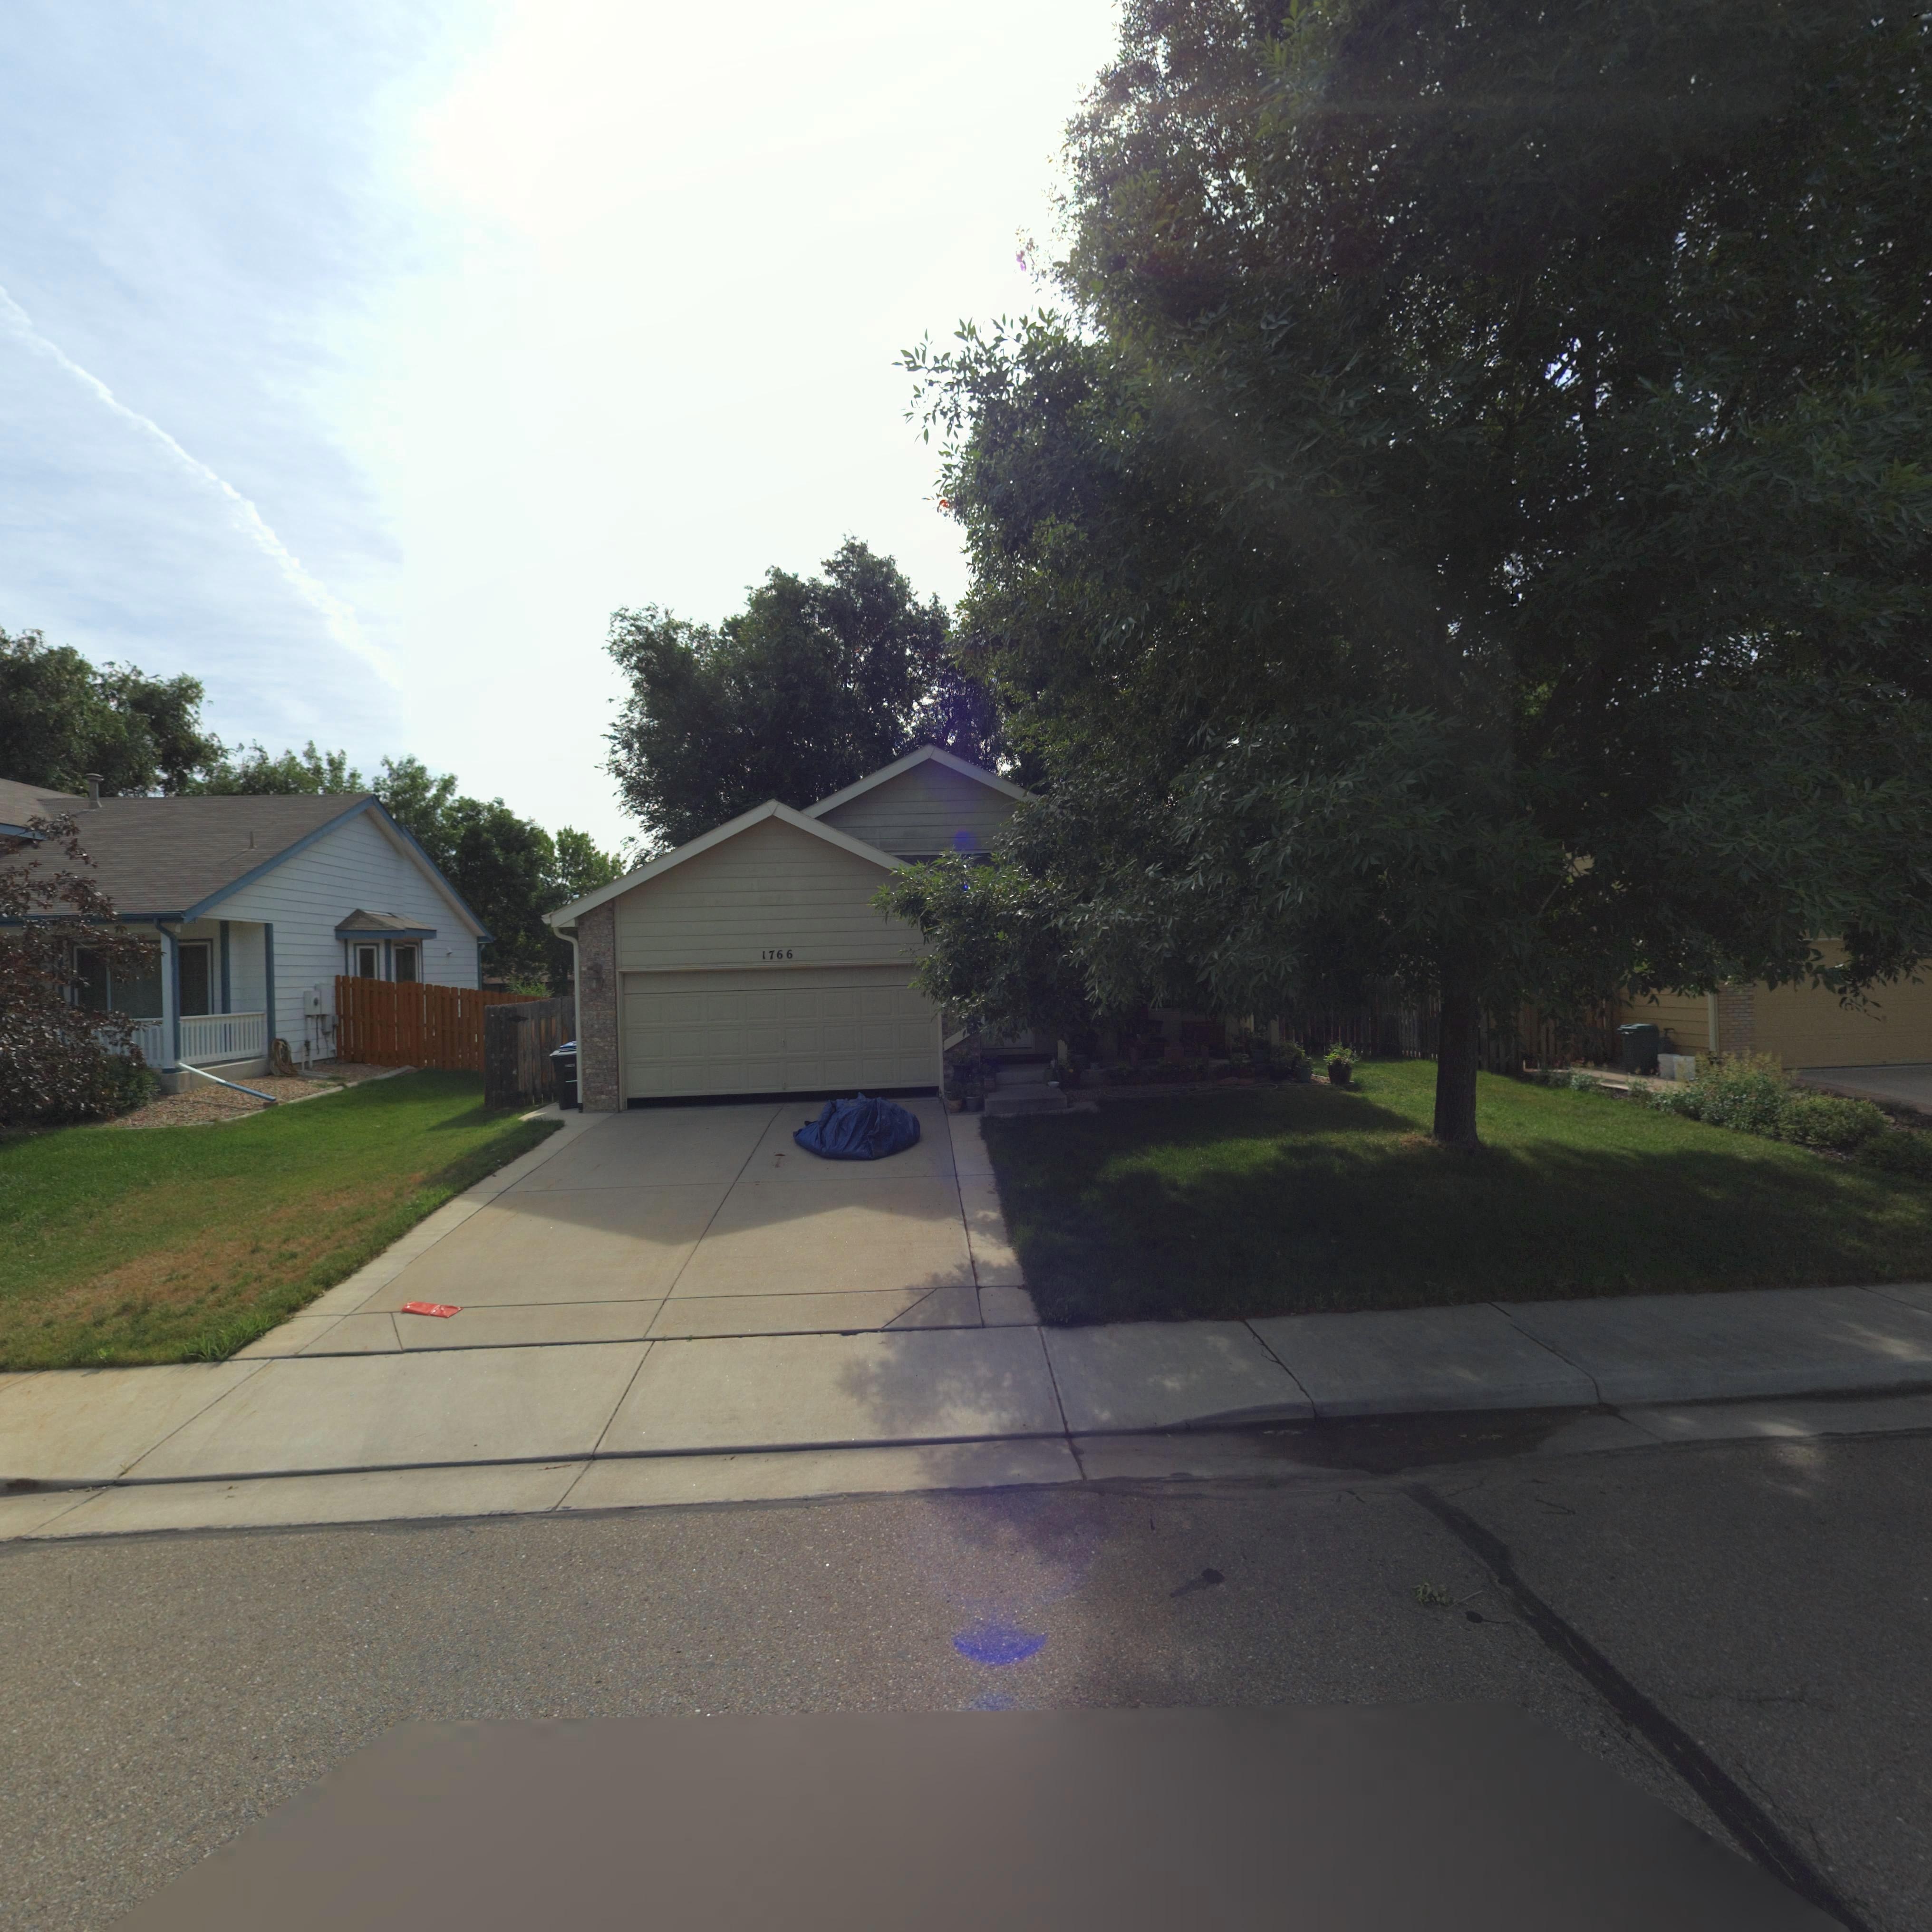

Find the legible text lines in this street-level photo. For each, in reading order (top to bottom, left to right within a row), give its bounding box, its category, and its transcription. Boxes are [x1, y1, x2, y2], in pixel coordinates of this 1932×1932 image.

[761, 948, 793, 960] StreetNumber: 1766